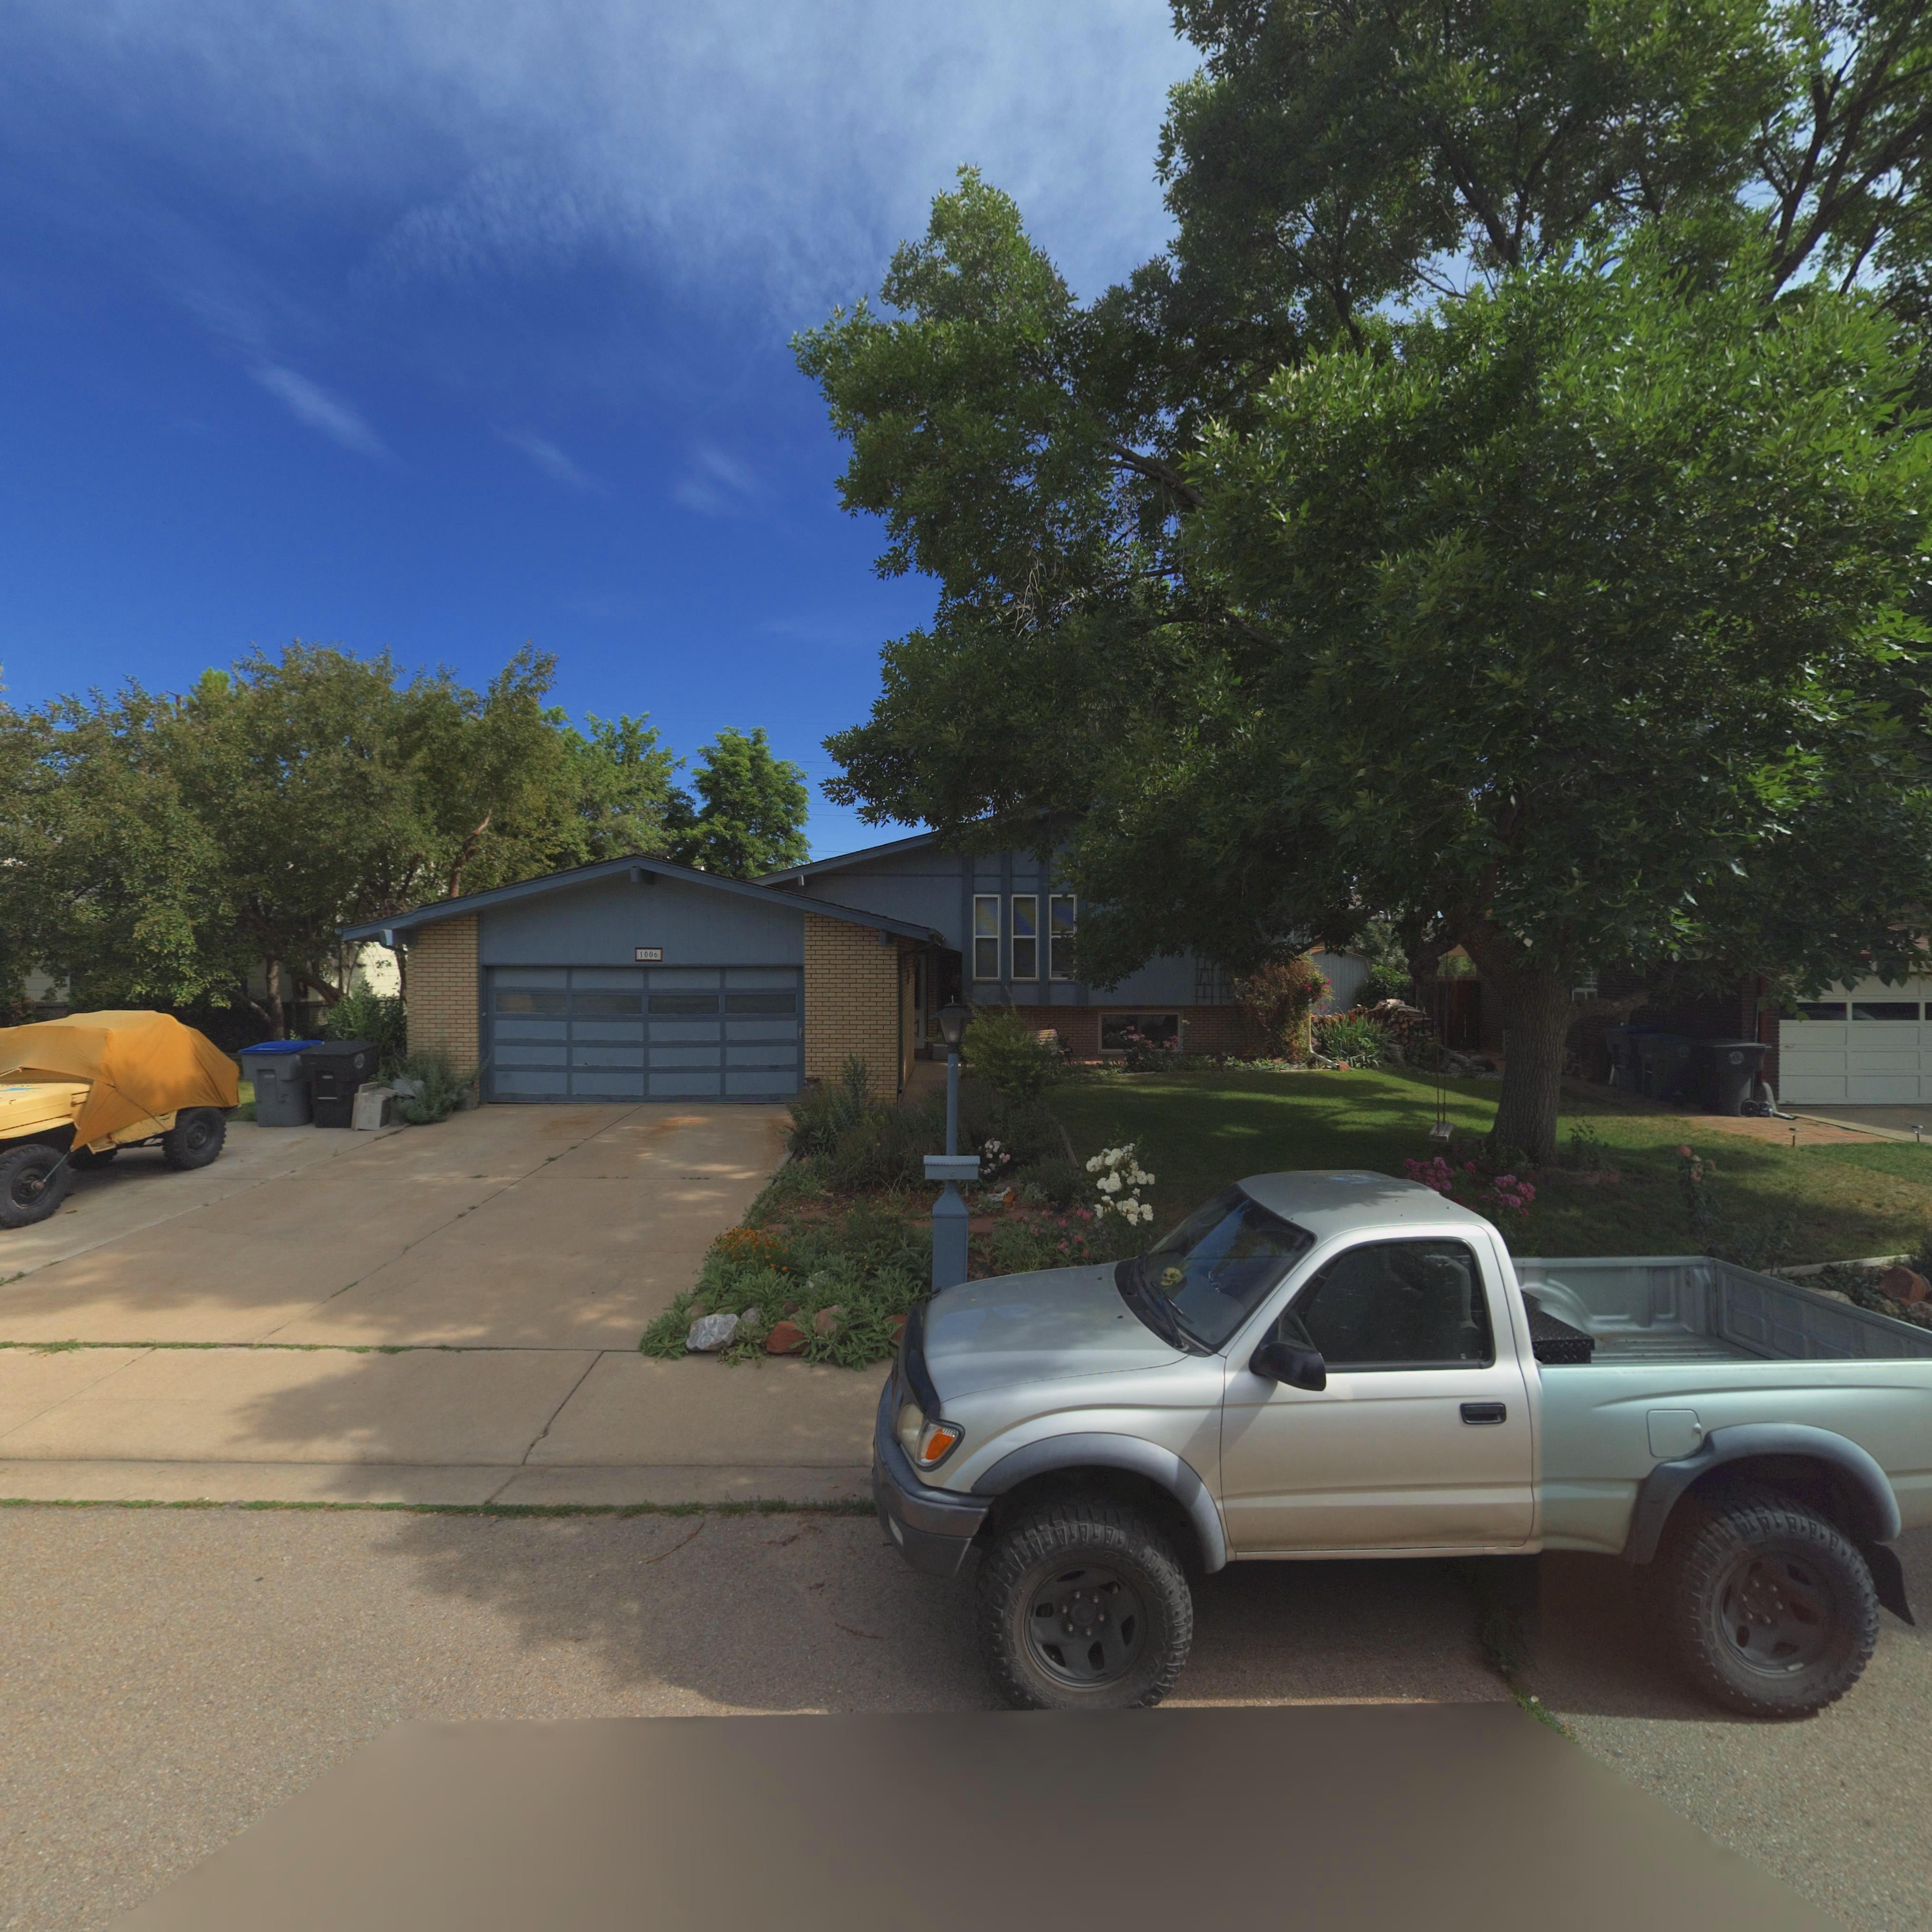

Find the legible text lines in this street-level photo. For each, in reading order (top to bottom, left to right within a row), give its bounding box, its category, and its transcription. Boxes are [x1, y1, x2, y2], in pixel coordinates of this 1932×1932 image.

[640, 951, 657, 957] StreetNumber: 1006